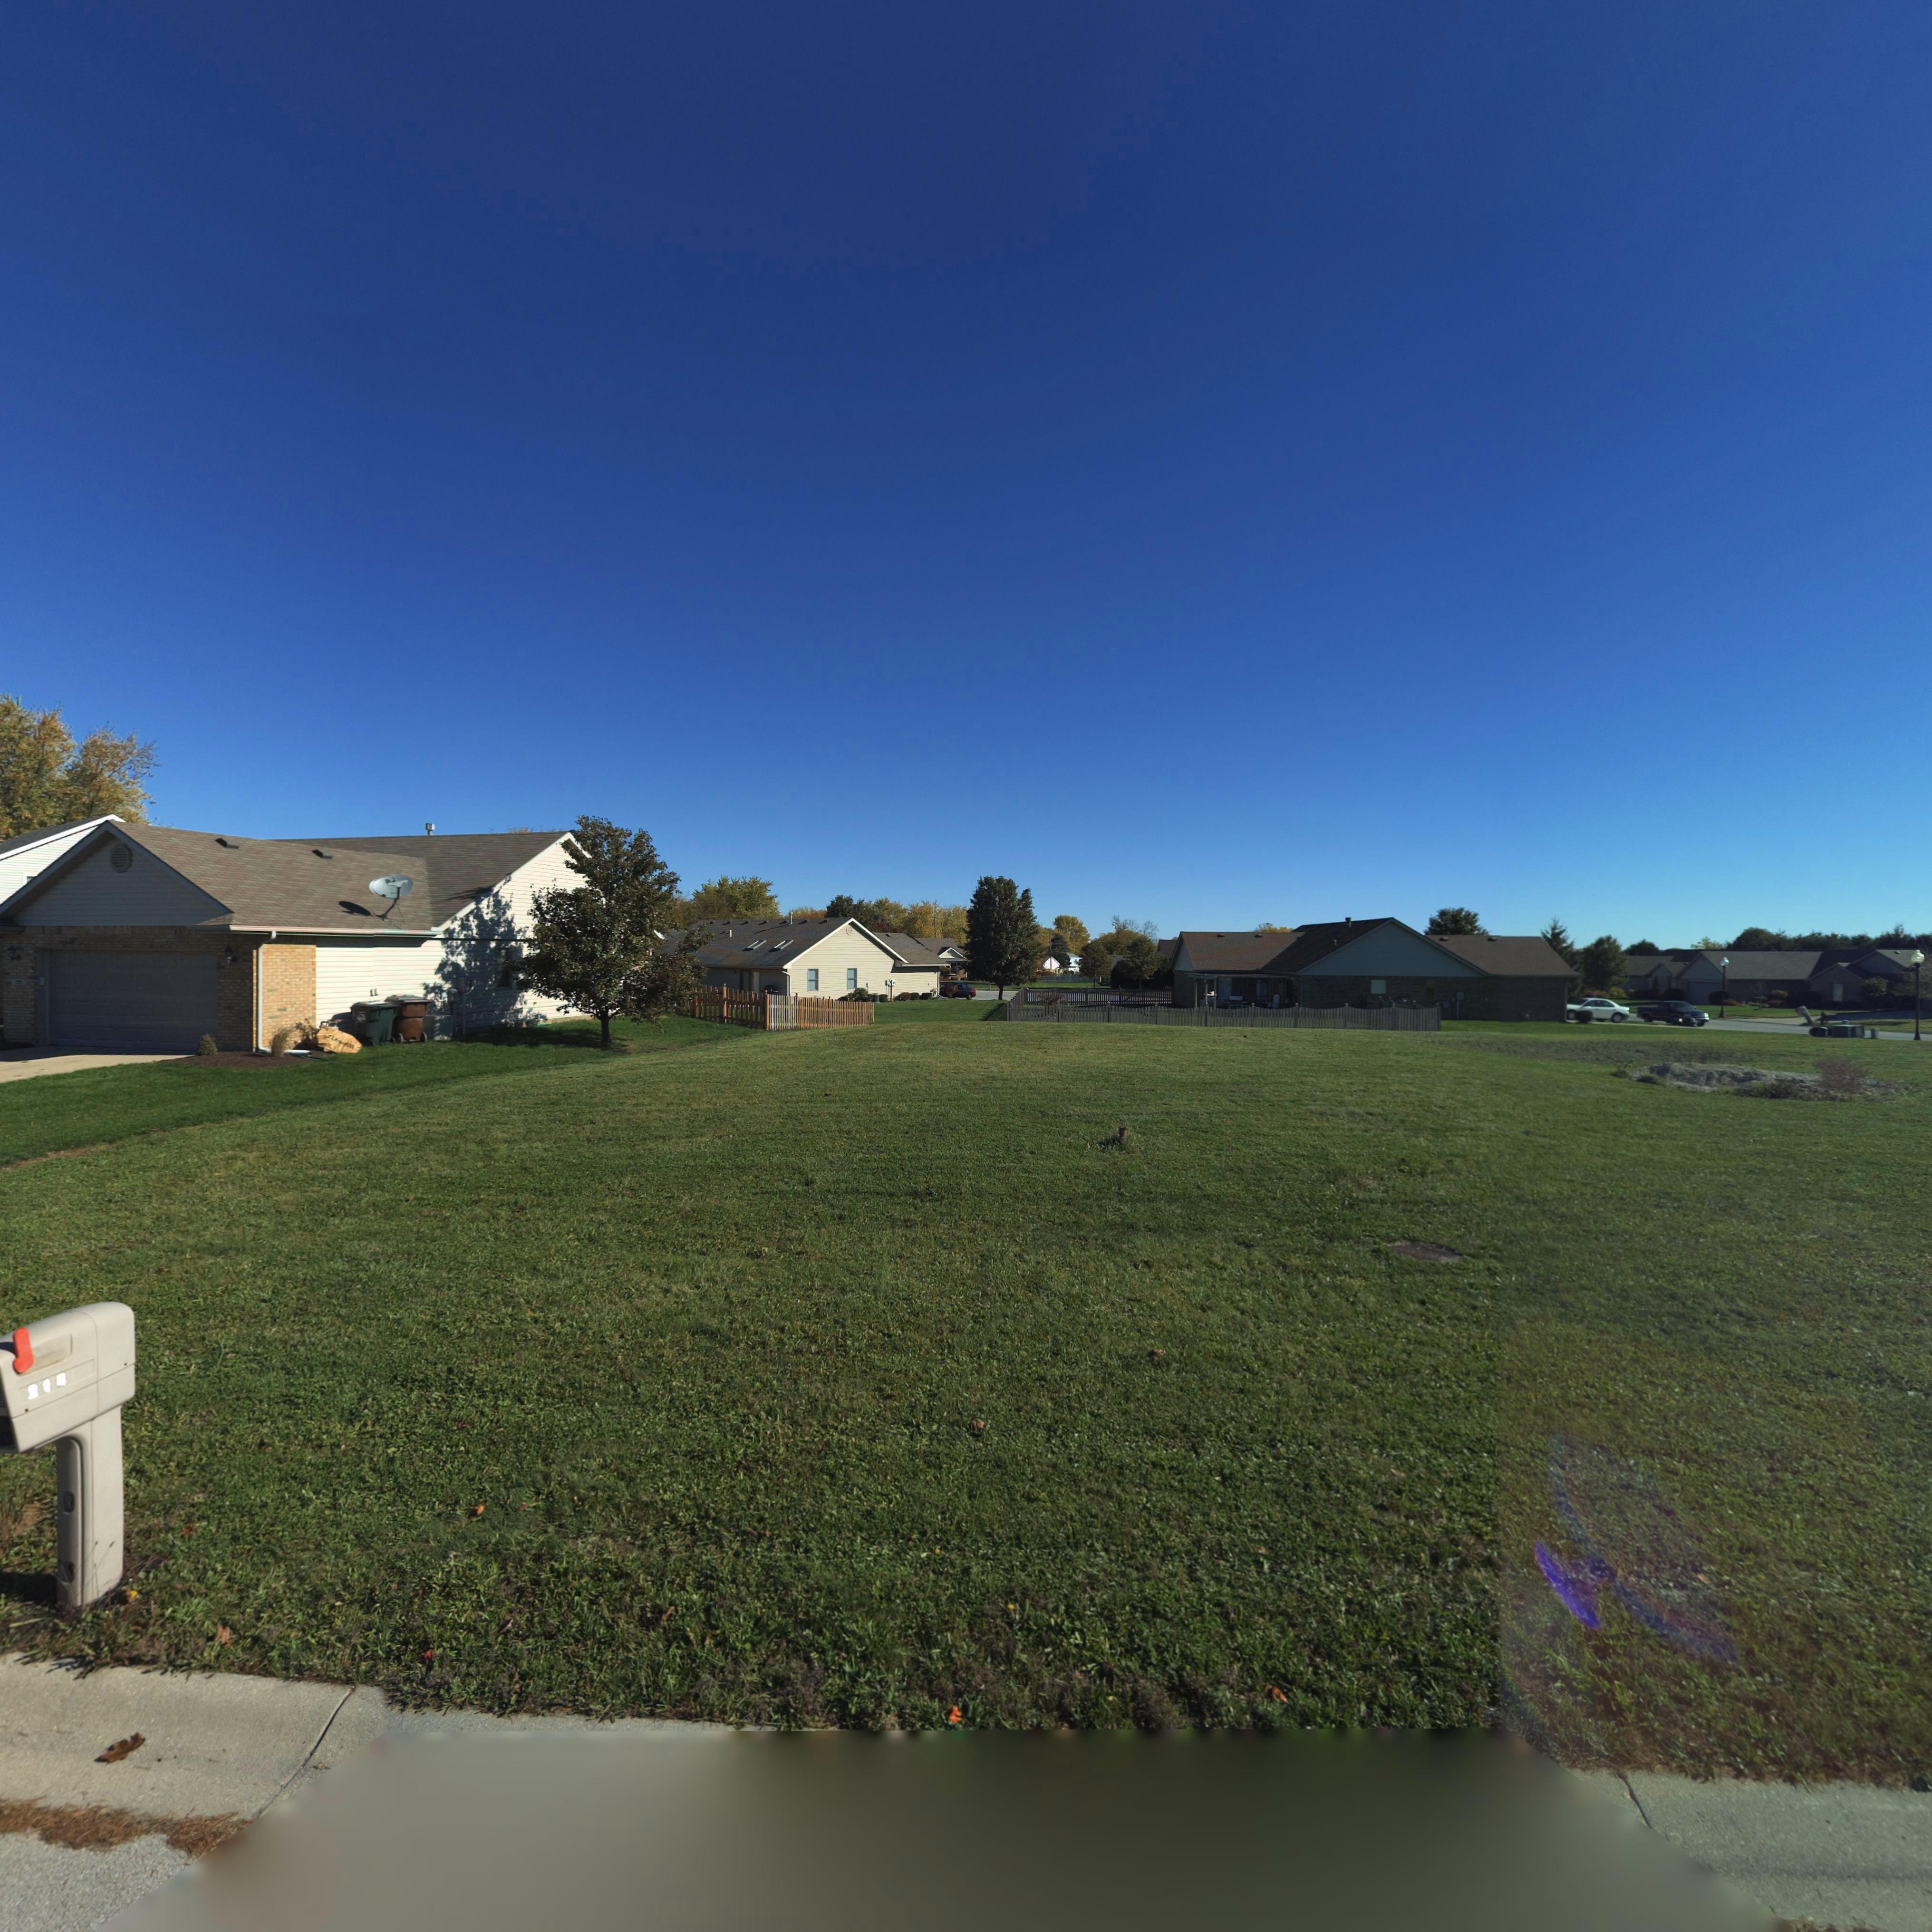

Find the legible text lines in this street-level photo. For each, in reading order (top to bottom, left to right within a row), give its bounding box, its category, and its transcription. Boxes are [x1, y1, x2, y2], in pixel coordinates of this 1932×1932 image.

[15, 980, 22, 985] StreetNumber: 2**
[26, 1371, 68, 1402] StreetNumber: 214